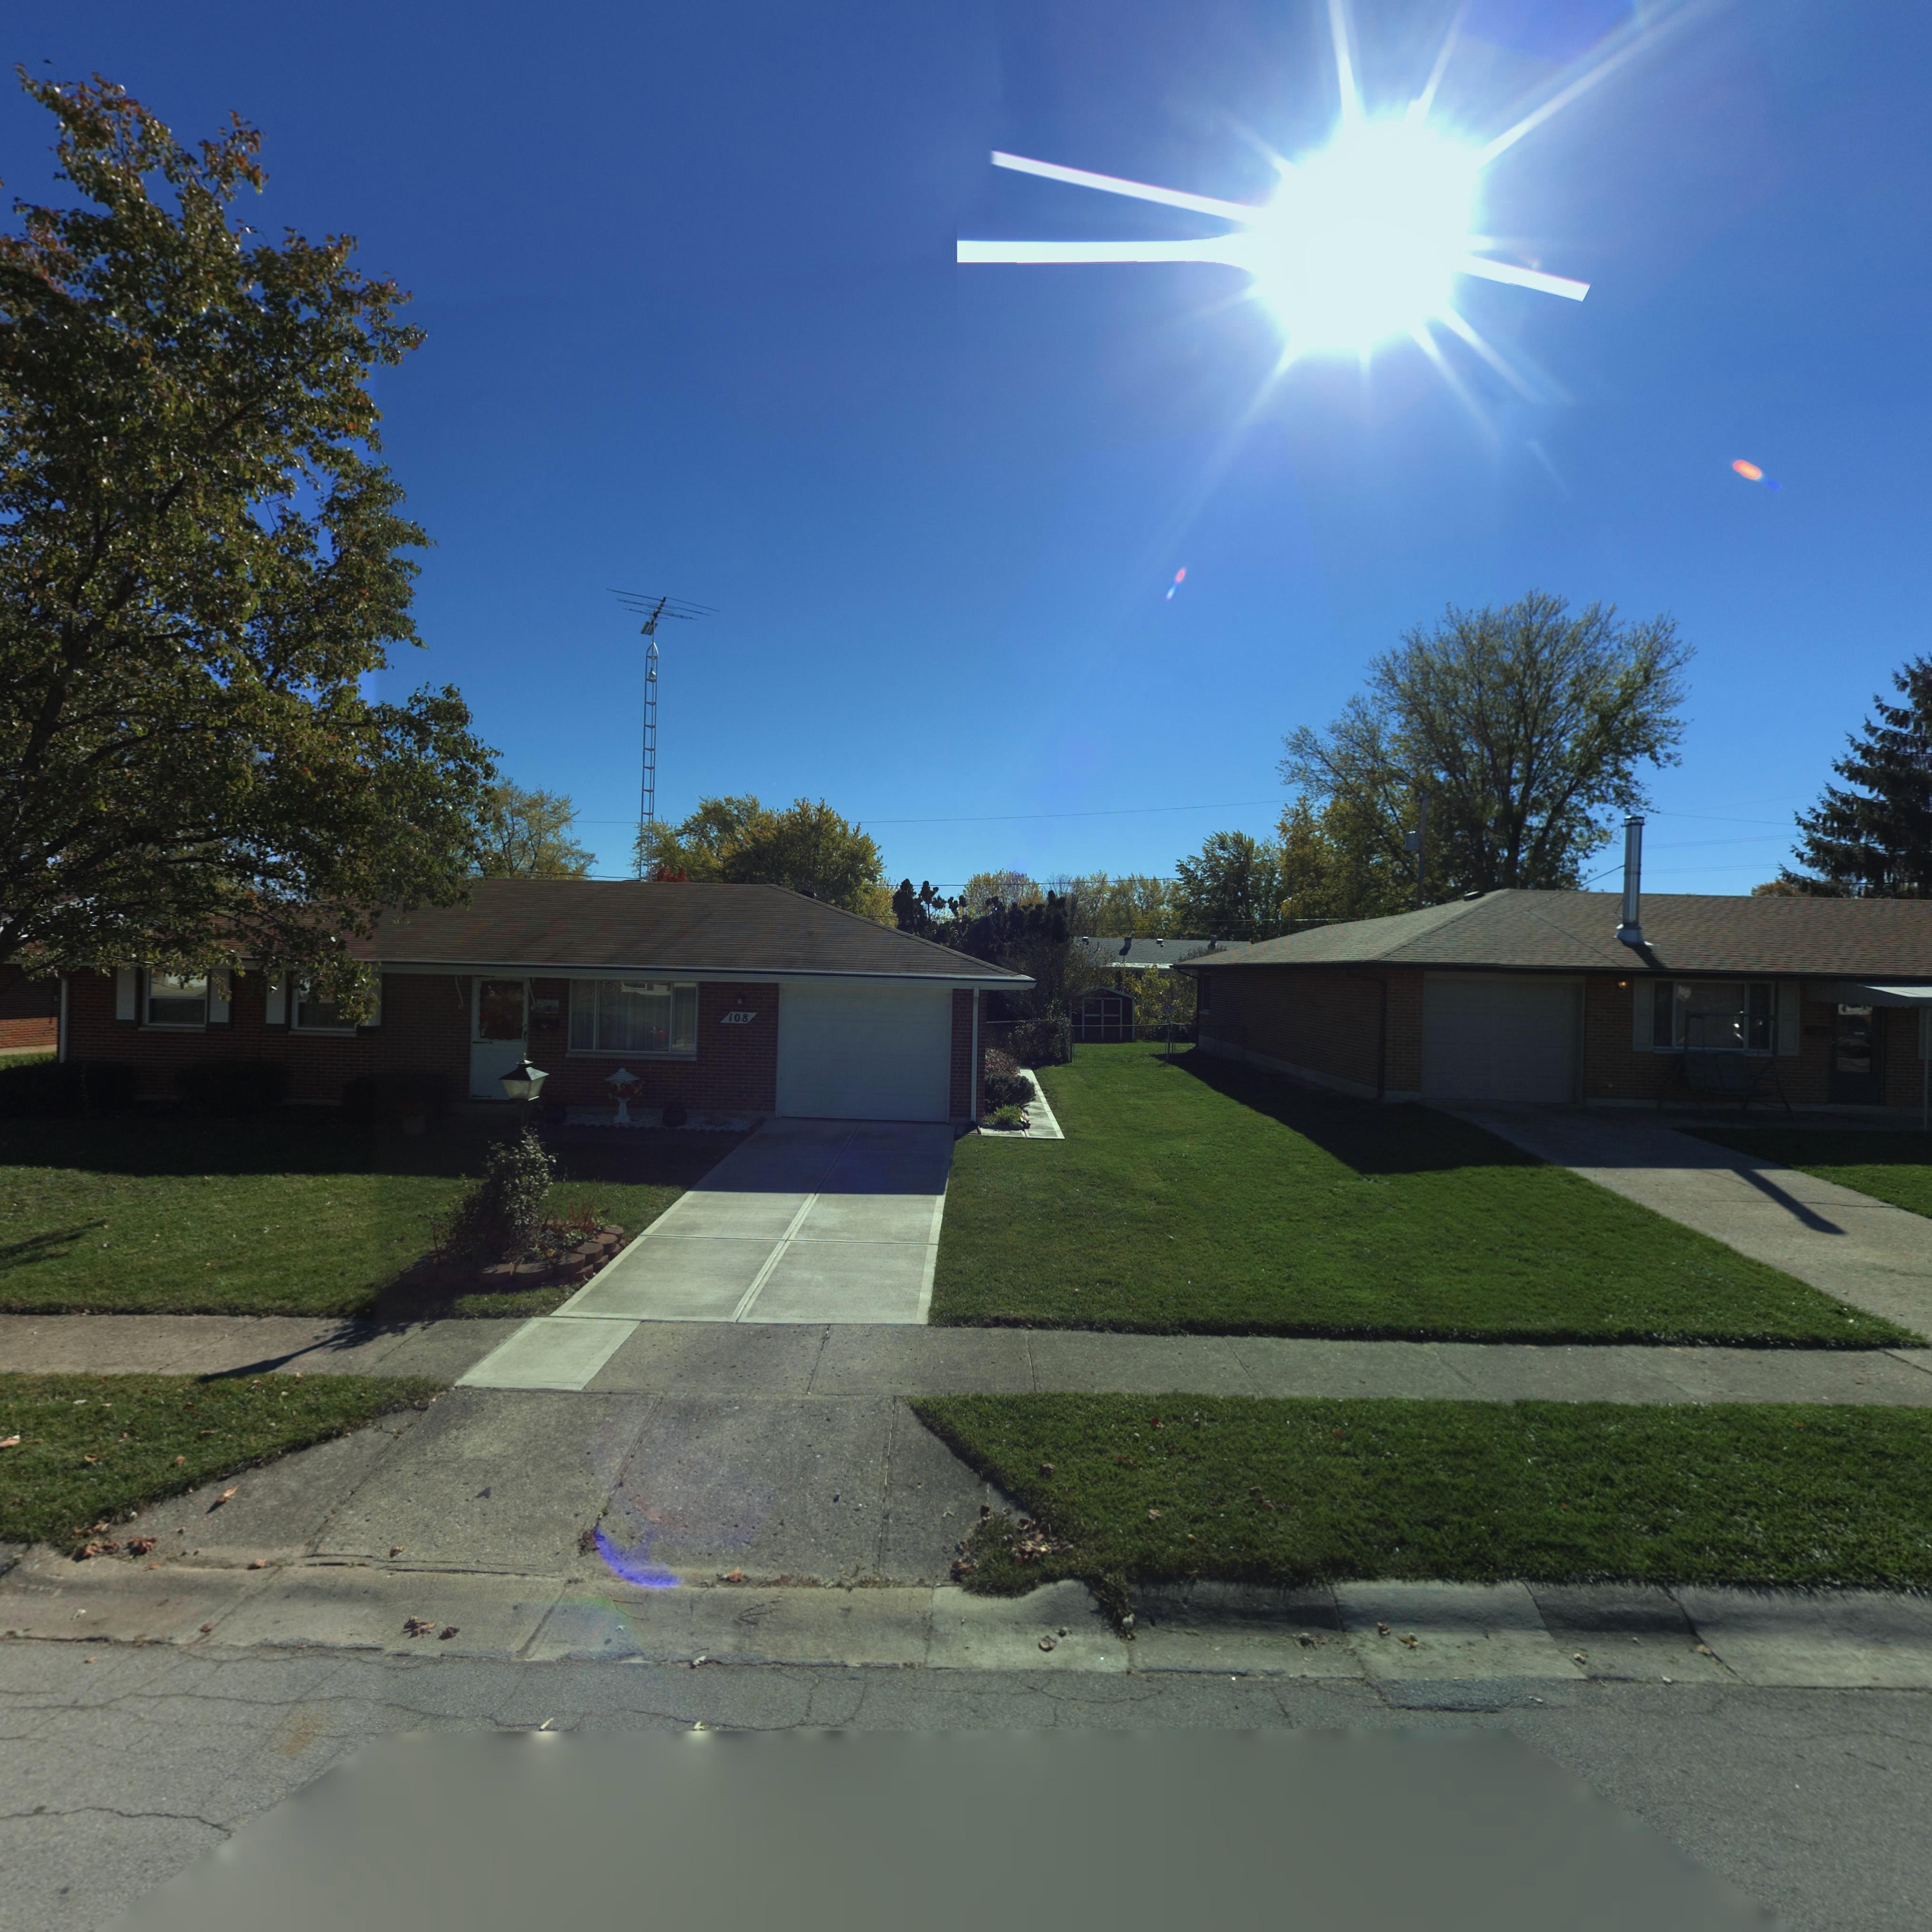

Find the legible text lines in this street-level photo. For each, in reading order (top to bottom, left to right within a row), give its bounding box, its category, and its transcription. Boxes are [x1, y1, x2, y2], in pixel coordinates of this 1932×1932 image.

[728, 1012, 749, 1023] StreetNumber: 108